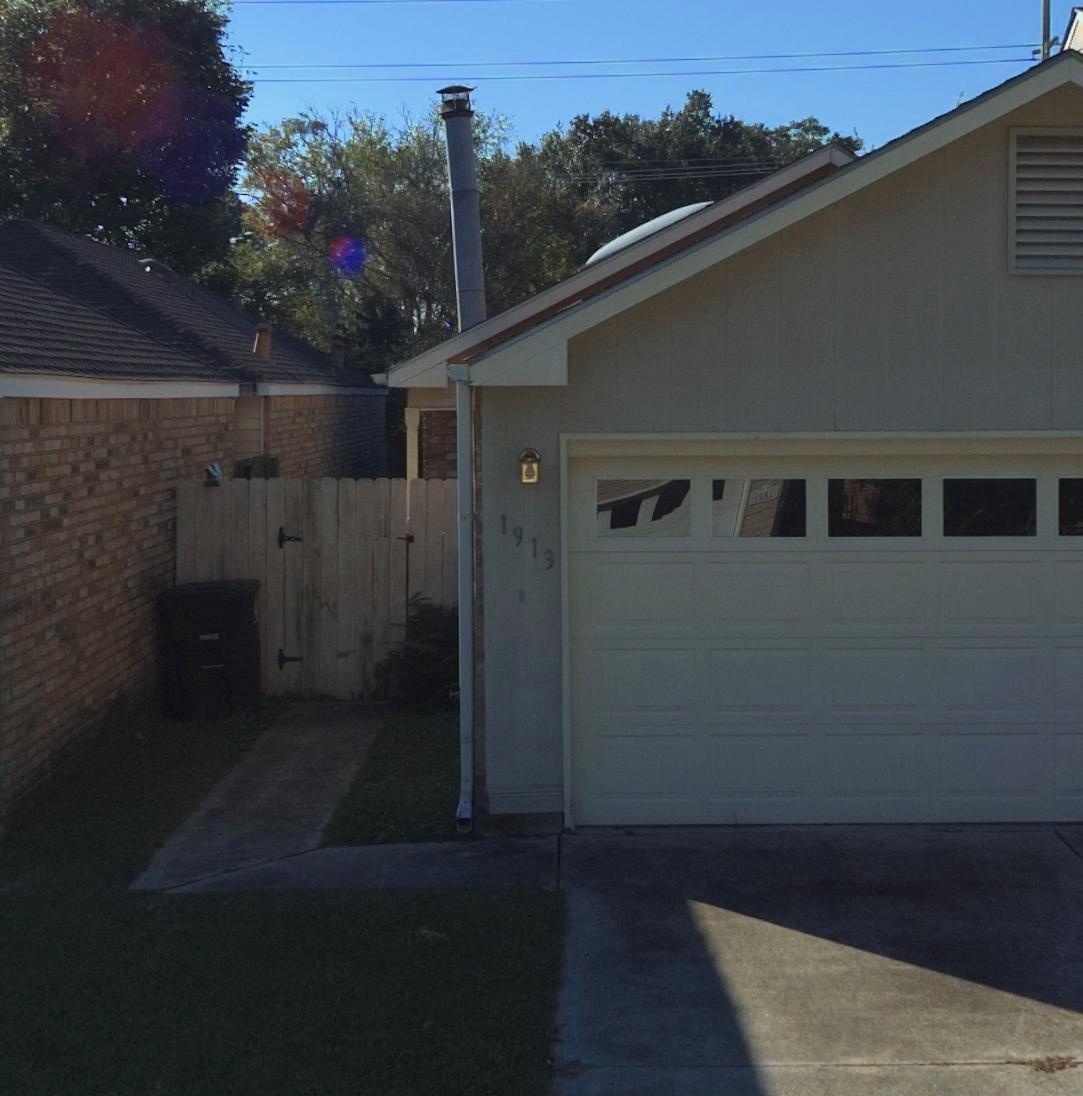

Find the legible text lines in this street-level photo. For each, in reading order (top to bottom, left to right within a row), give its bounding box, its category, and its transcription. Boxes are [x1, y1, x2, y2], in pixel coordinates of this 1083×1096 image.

[497, 511, 557, 573] StreetNumber: 1913